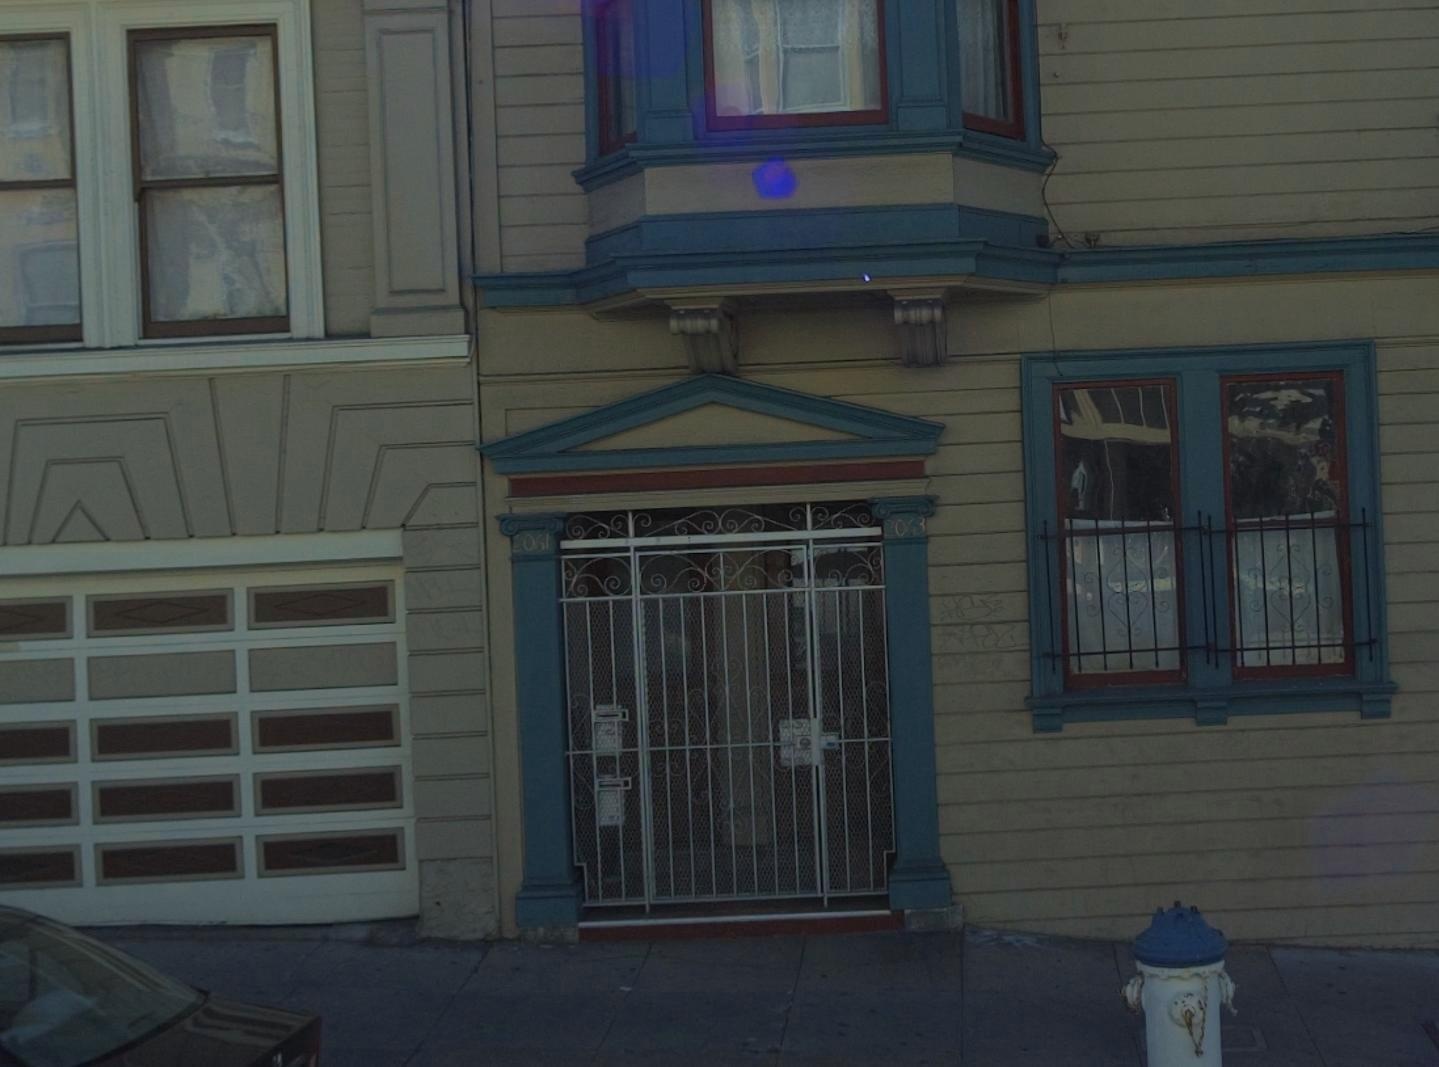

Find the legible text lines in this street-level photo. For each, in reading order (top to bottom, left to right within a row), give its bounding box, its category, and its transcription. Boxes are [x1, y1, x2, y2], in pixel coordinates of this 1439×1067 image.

[882, 515, 927, 539] StreetNumber: 2063
[511, 532, 551, 554] StreetNumber: 2061